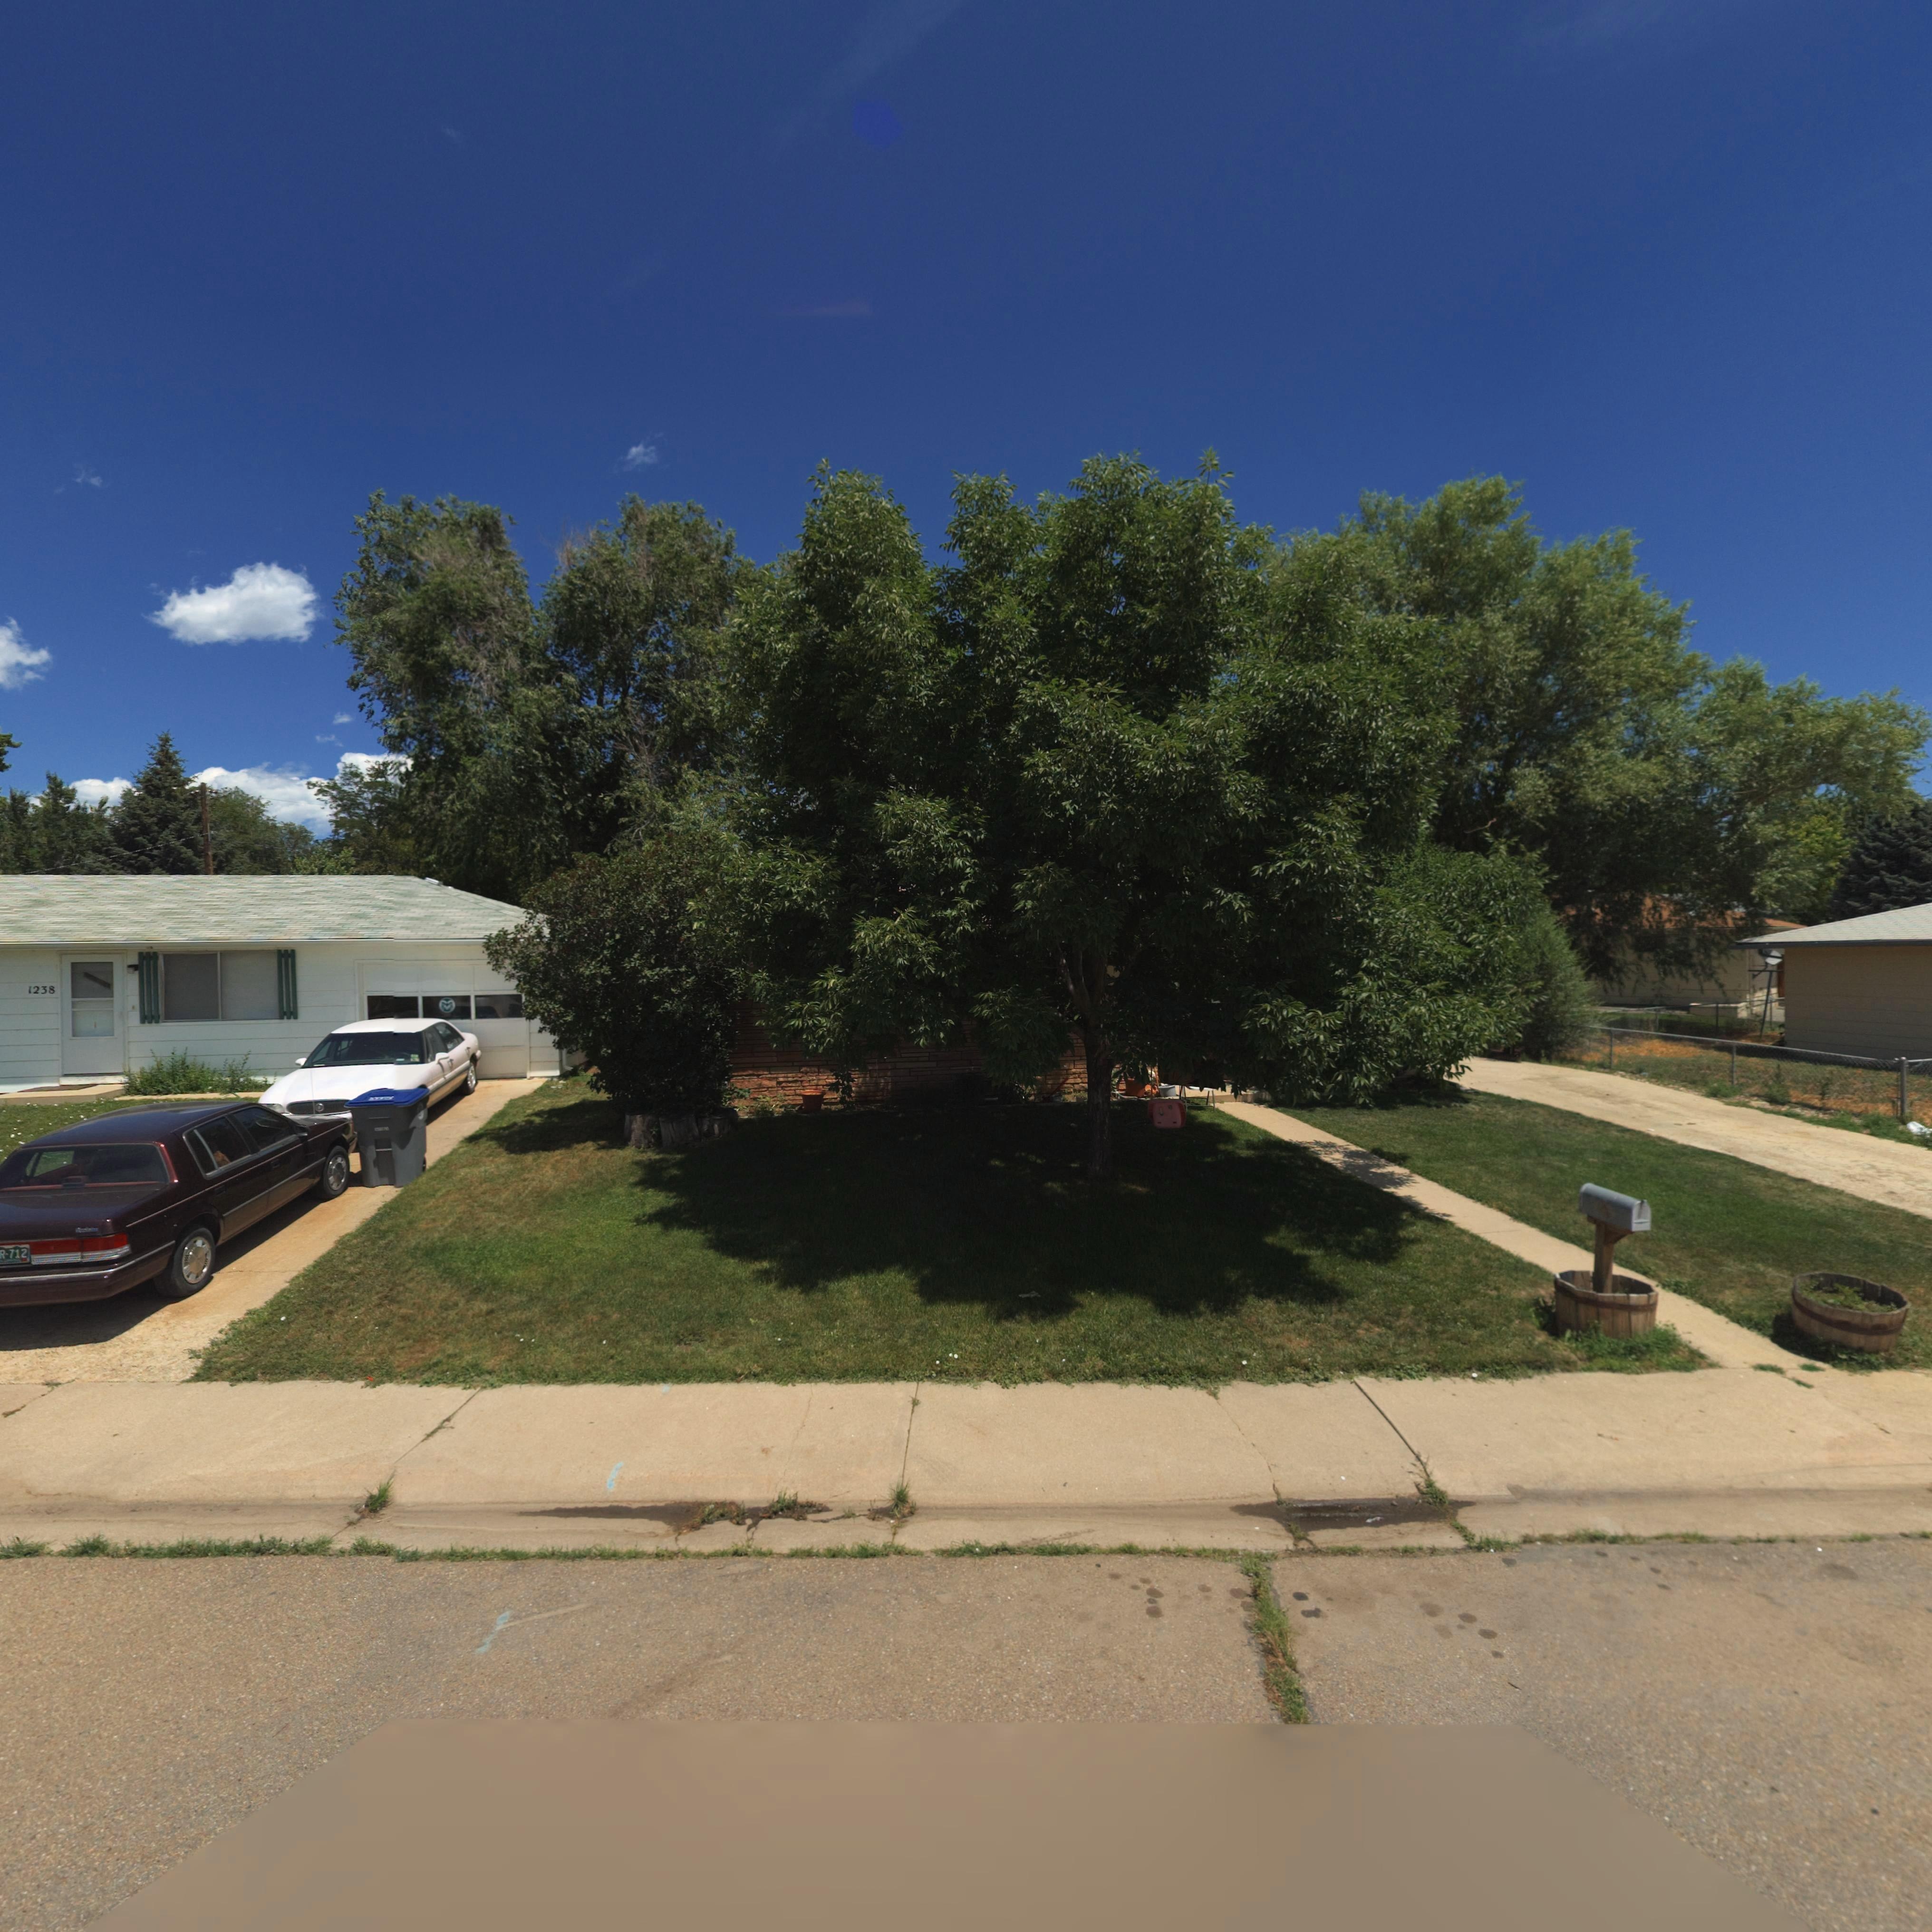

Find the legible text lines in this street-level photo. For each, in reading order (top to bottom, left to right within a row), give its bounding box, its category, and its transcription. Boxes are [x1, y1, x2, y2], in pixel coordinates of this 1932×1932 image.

[28, 985, 56, 994] StreetNumber: 1238